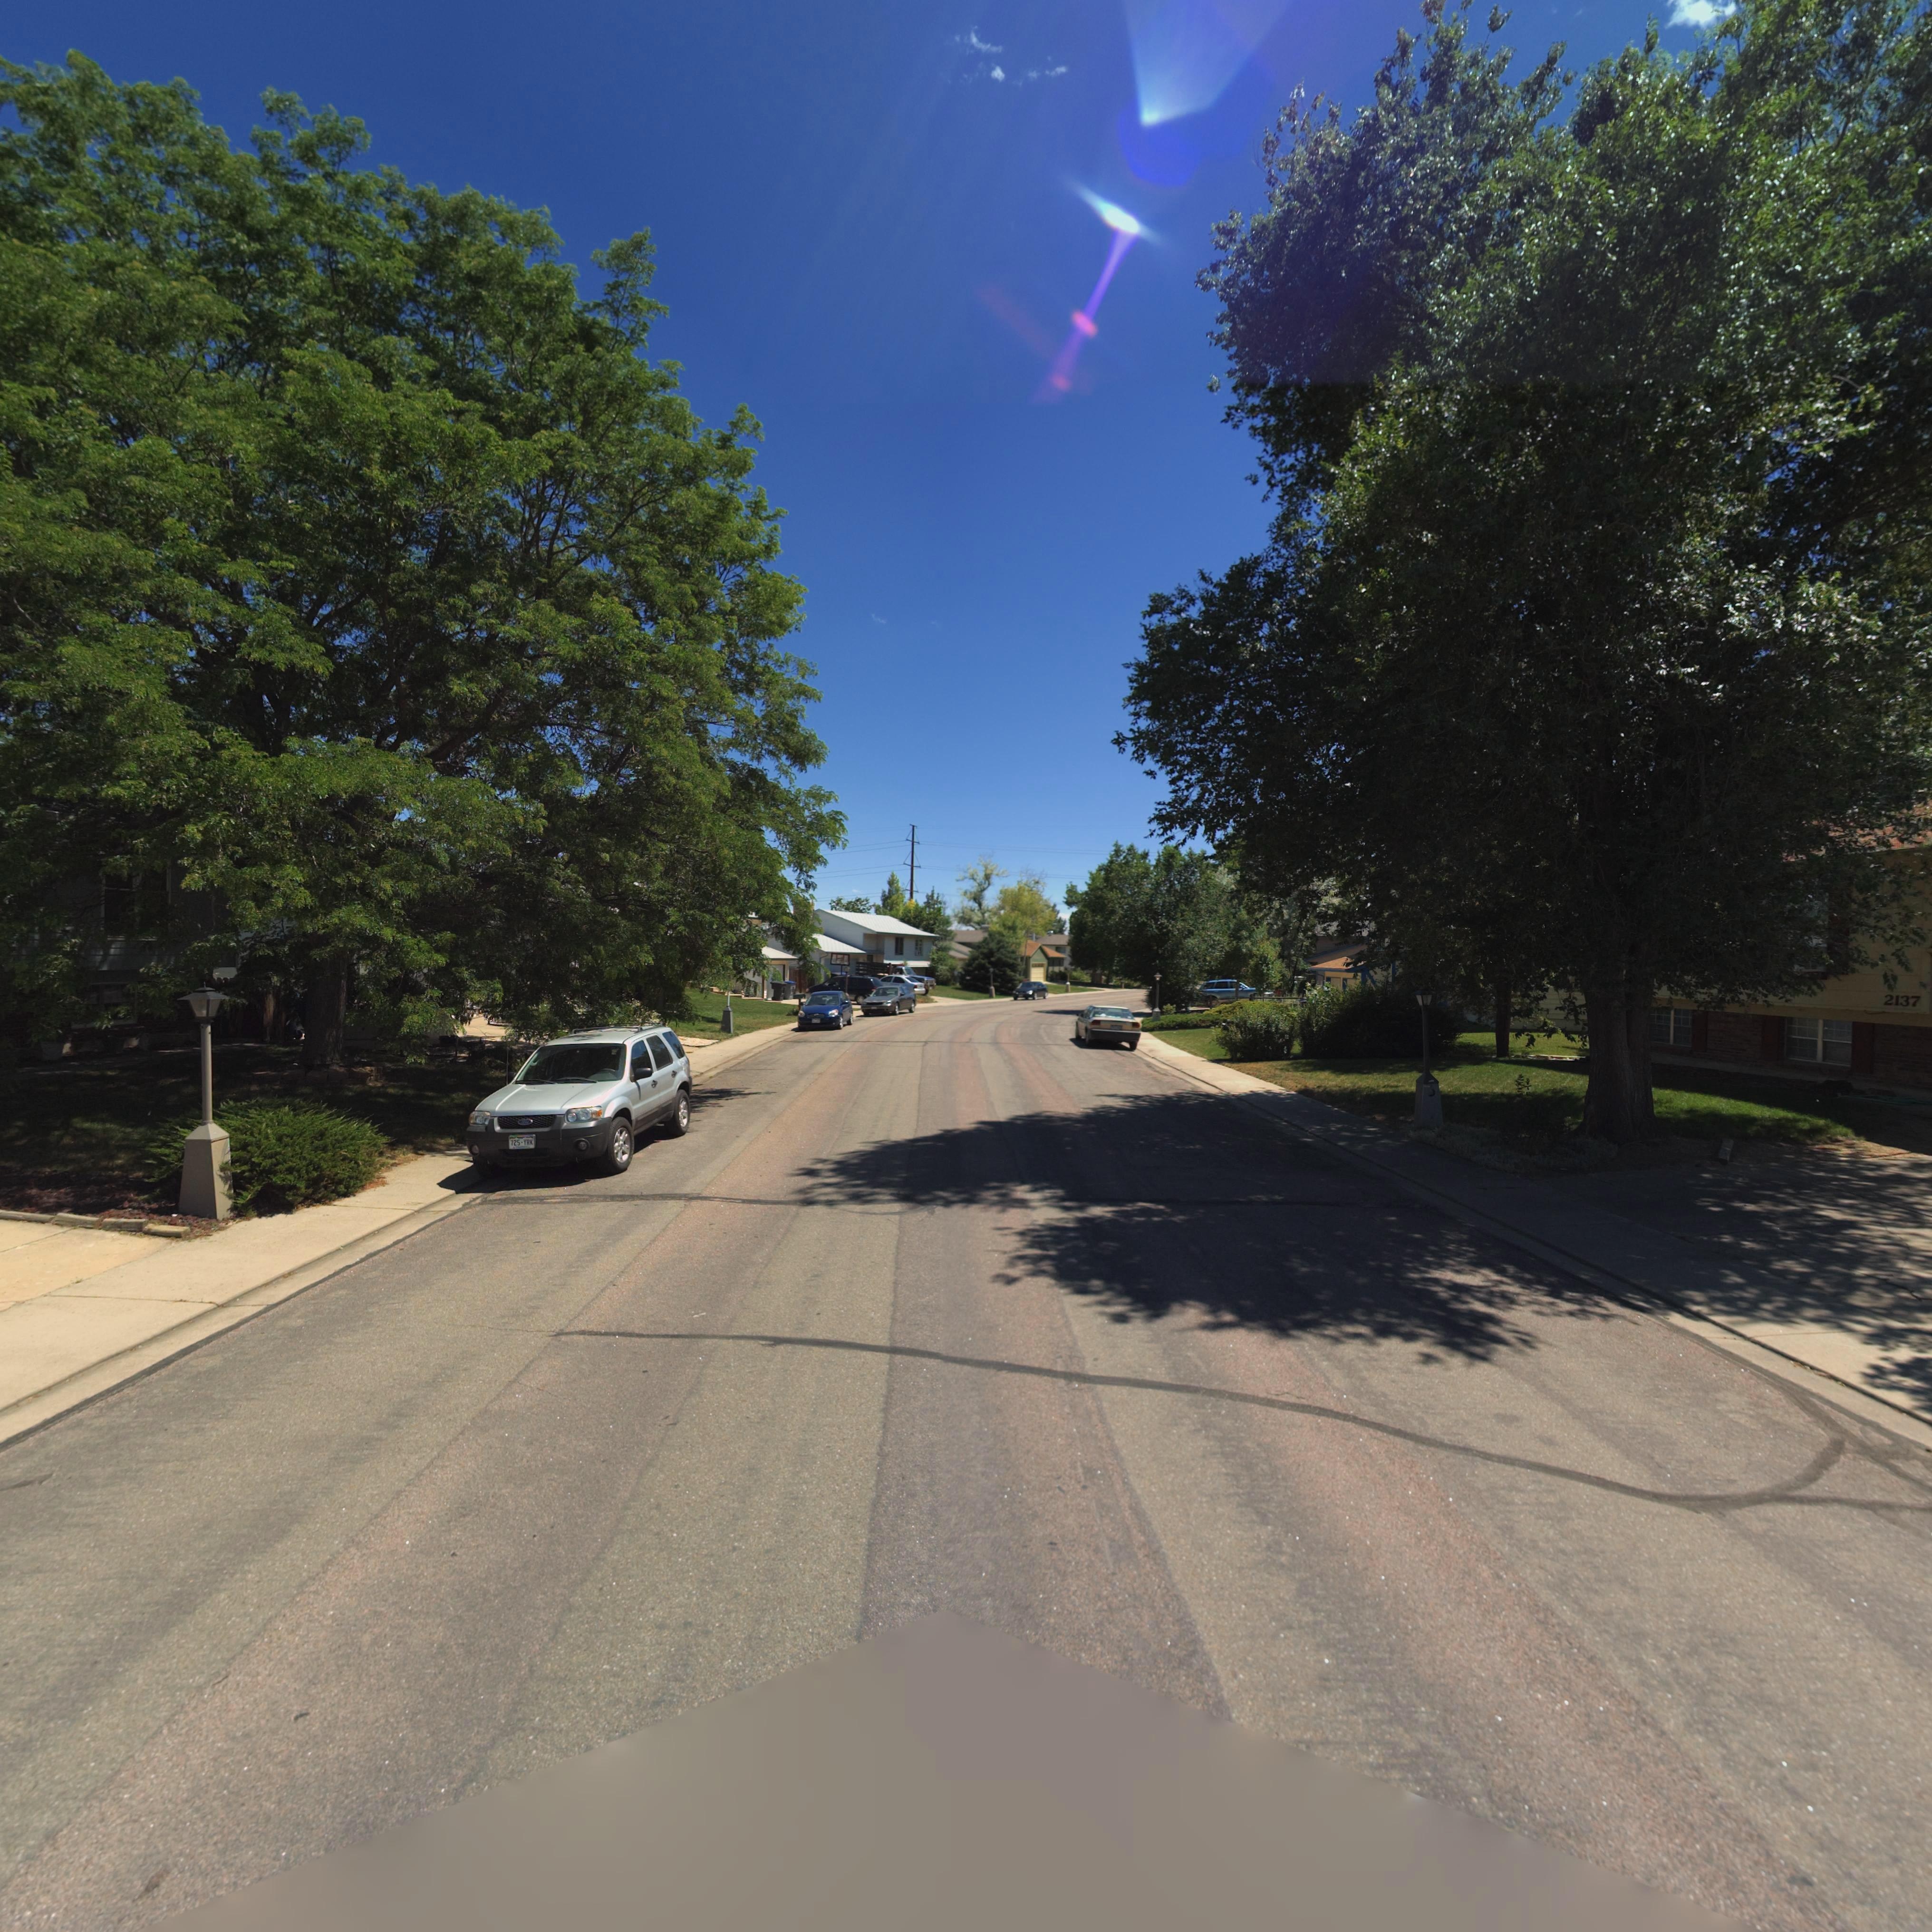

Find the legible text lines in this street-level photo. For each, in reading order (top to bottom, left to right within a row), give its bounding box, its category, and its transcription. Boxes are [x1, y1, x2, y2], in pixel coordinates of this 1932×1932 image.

[1882, 994, 1922, 1007] StreetNumber: 2137